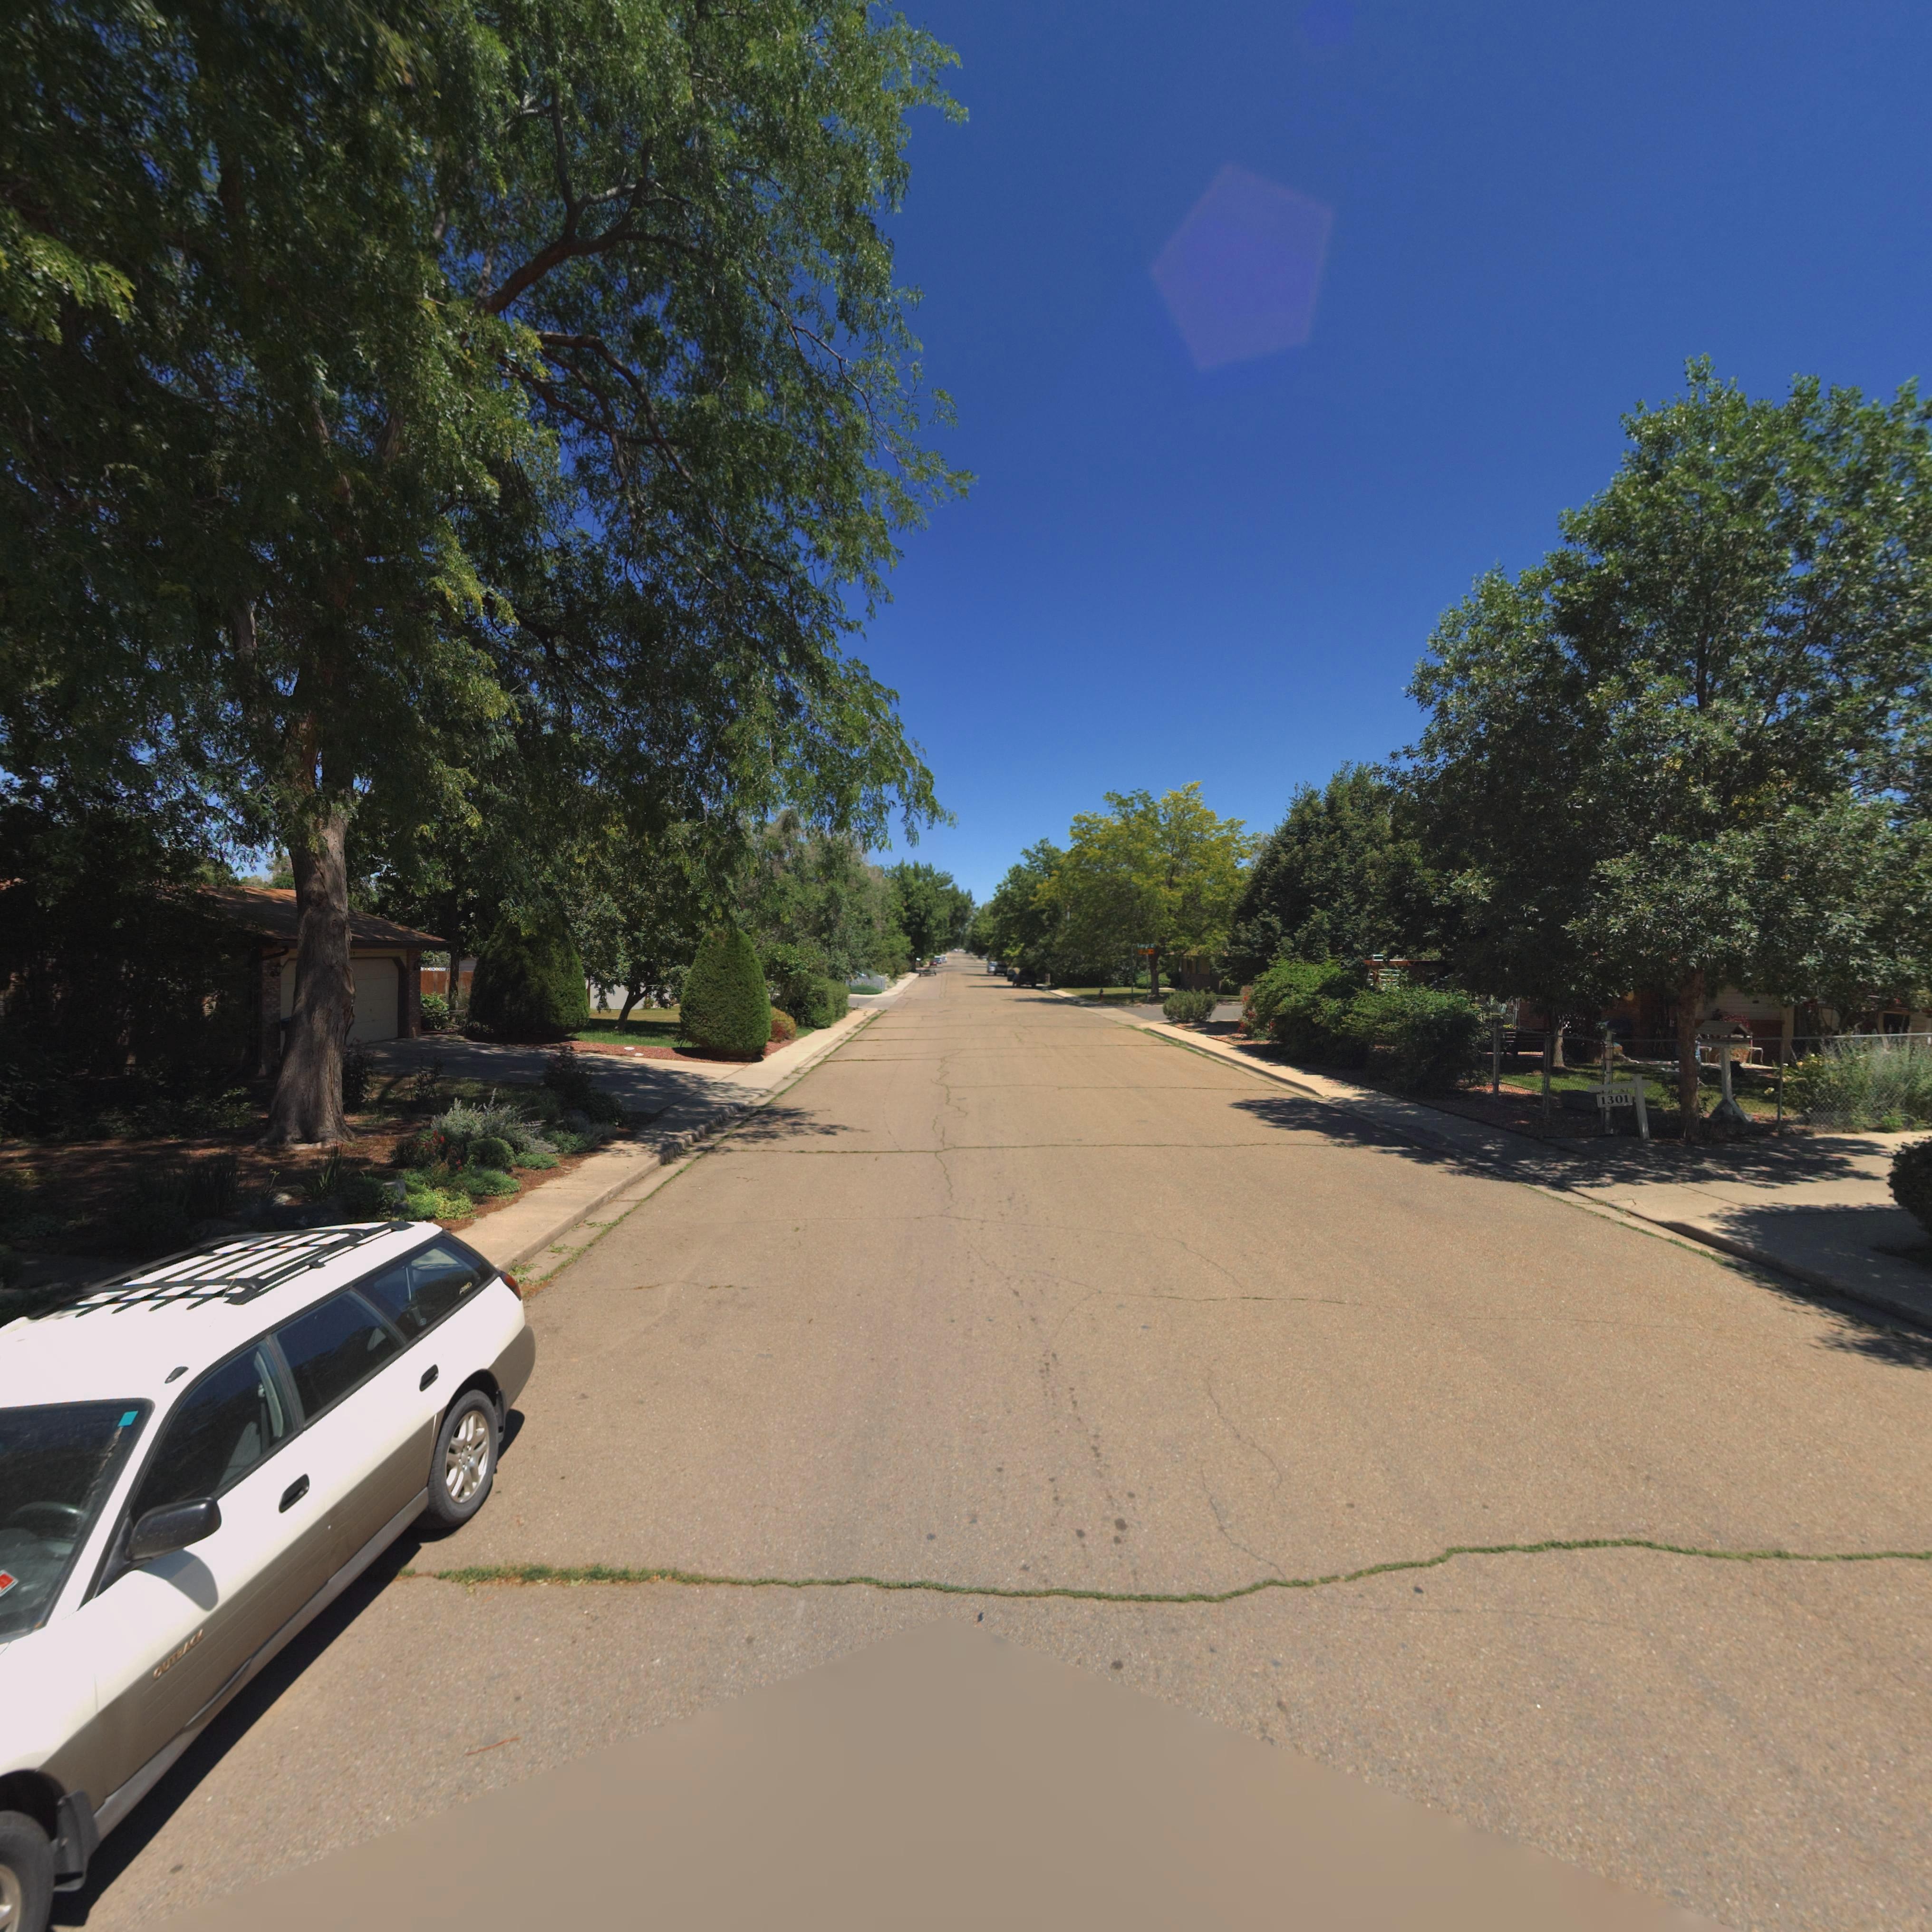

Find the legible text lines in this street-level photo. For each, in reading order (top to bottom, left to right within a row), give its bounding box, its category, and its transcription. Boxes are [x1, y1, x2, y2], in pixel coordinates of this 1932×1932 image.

[353, 951, 356, 956] StreetNumber: 8
[1601, 1094, 1629, 1105] StreetNumber: 1301